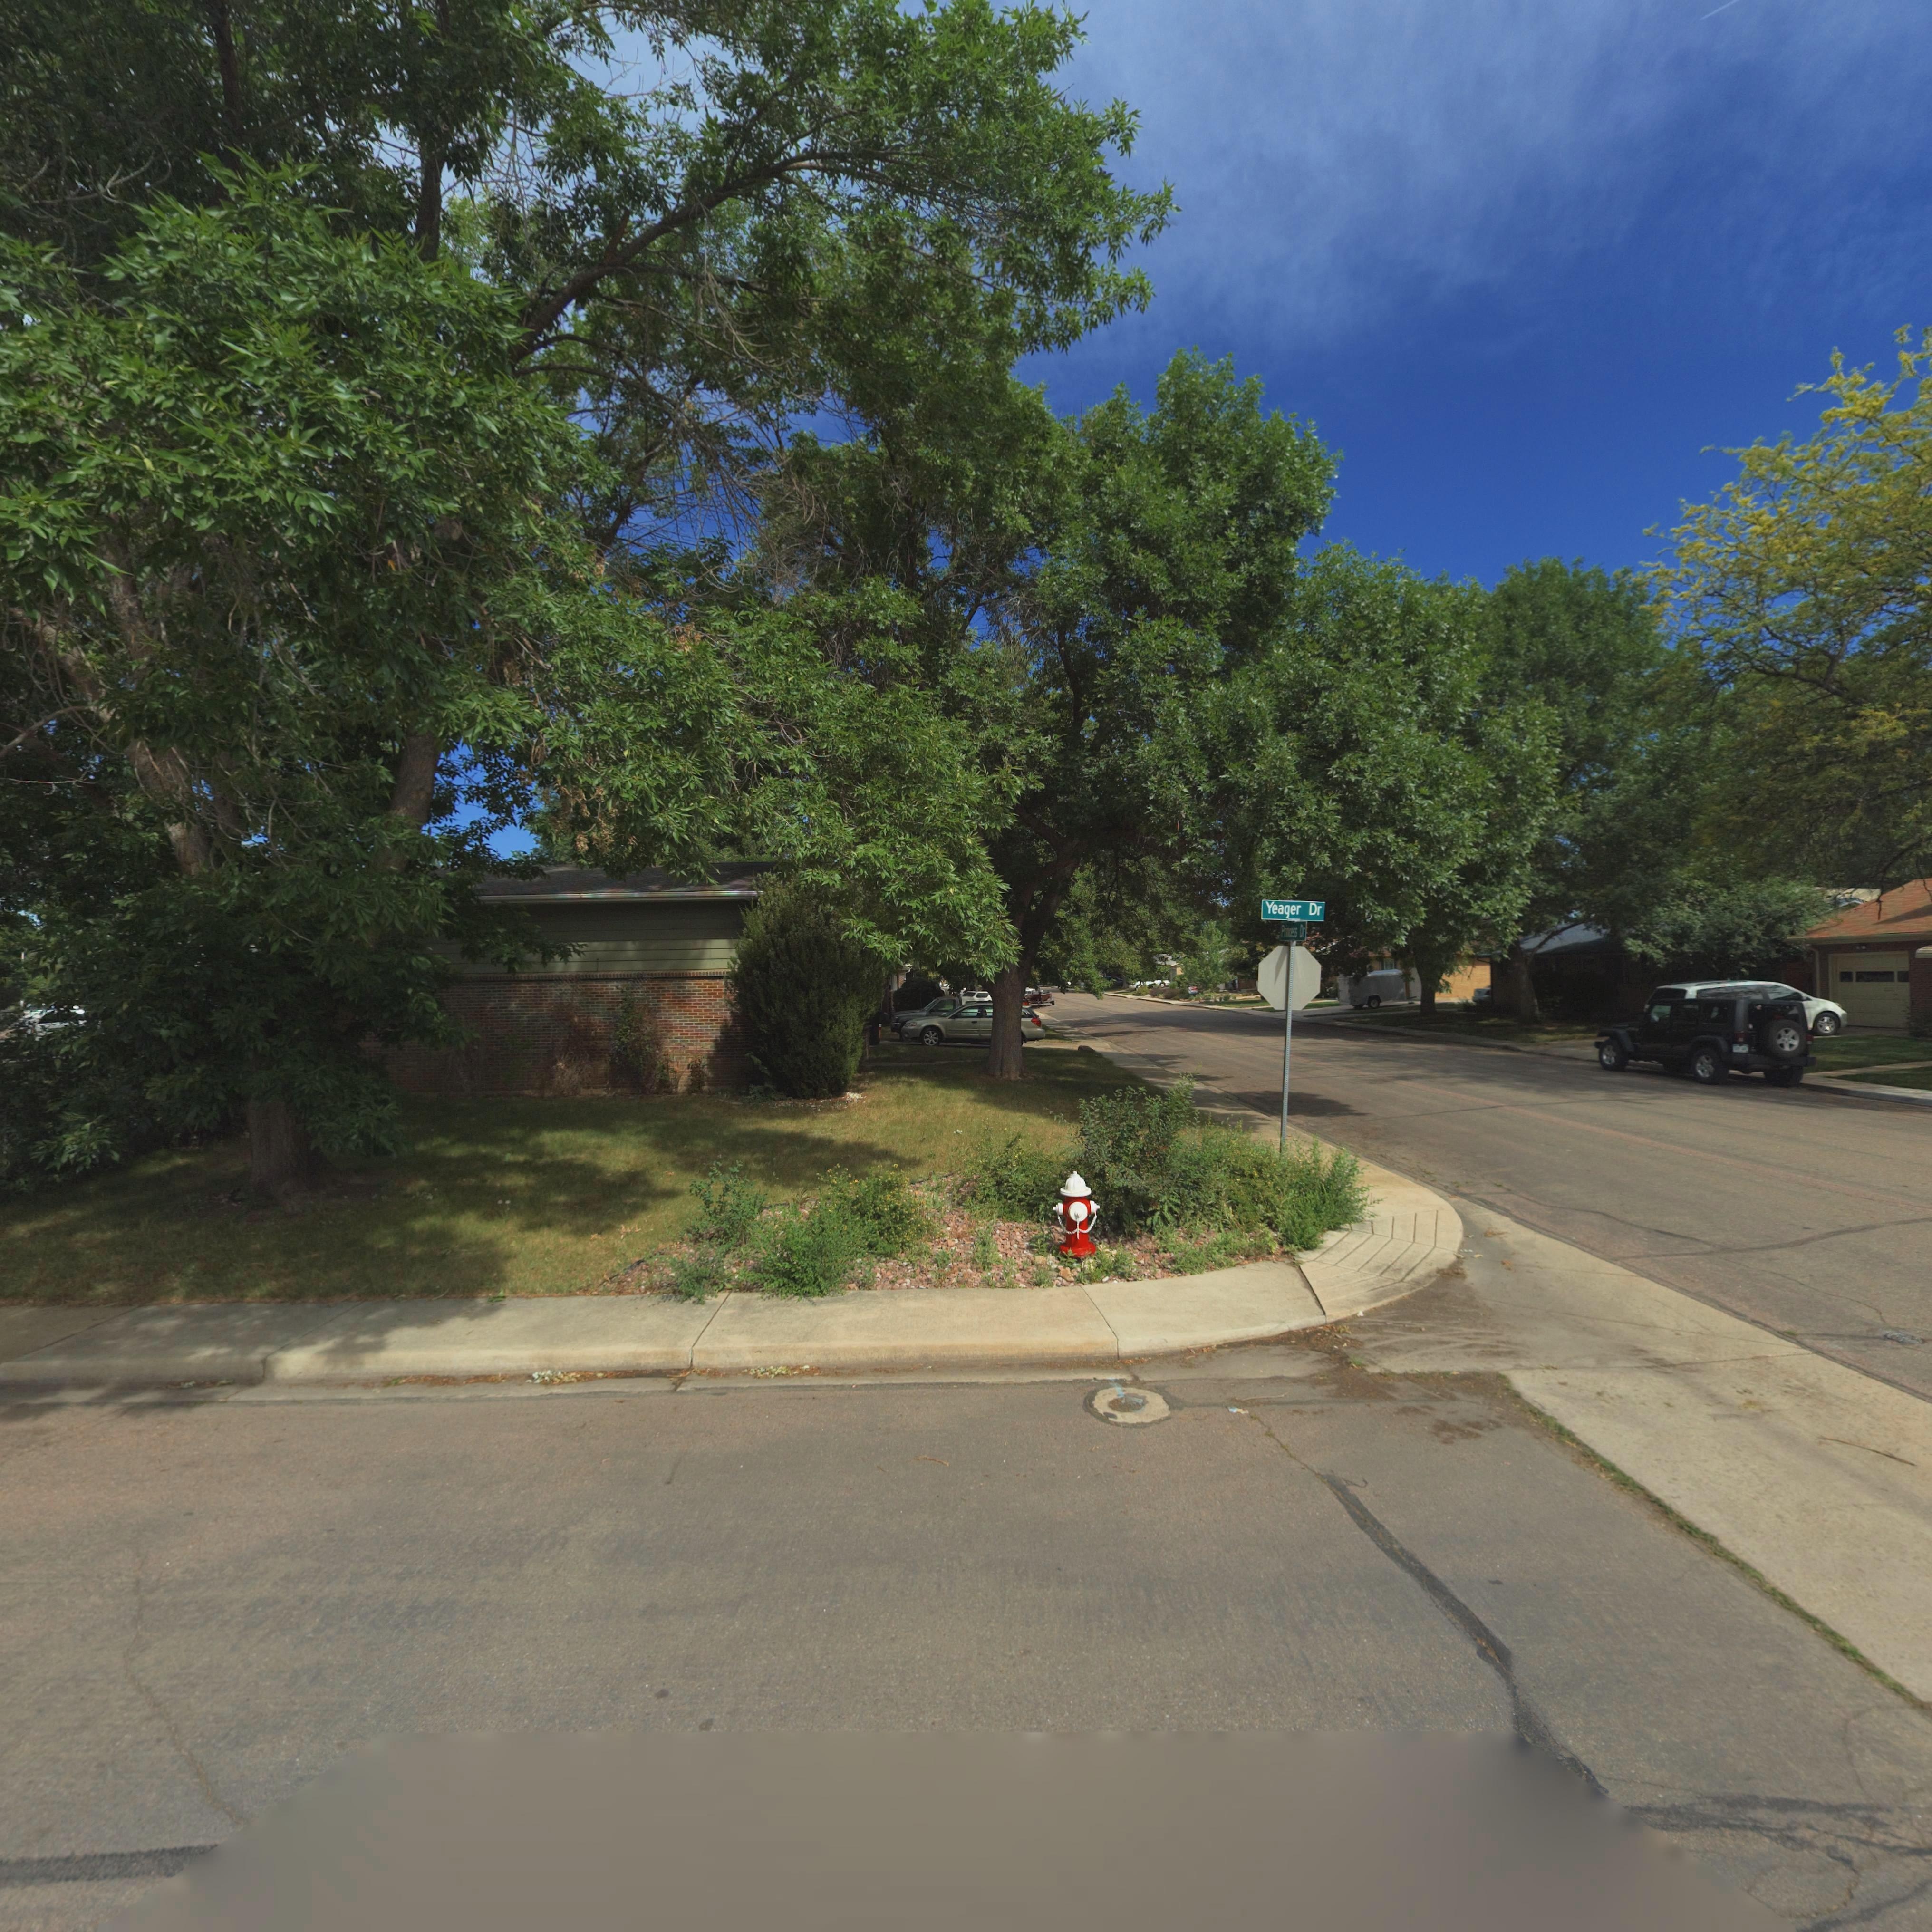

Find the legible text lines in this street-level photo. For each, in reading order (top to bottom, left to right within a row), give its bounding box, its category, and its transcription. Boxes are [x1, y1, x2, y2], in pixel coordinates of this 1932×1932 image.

[1265, 901, 1322, 918] StreetName: Yeager Dr
[1281, 924, 1305, 937] StreetName: Princess Dr